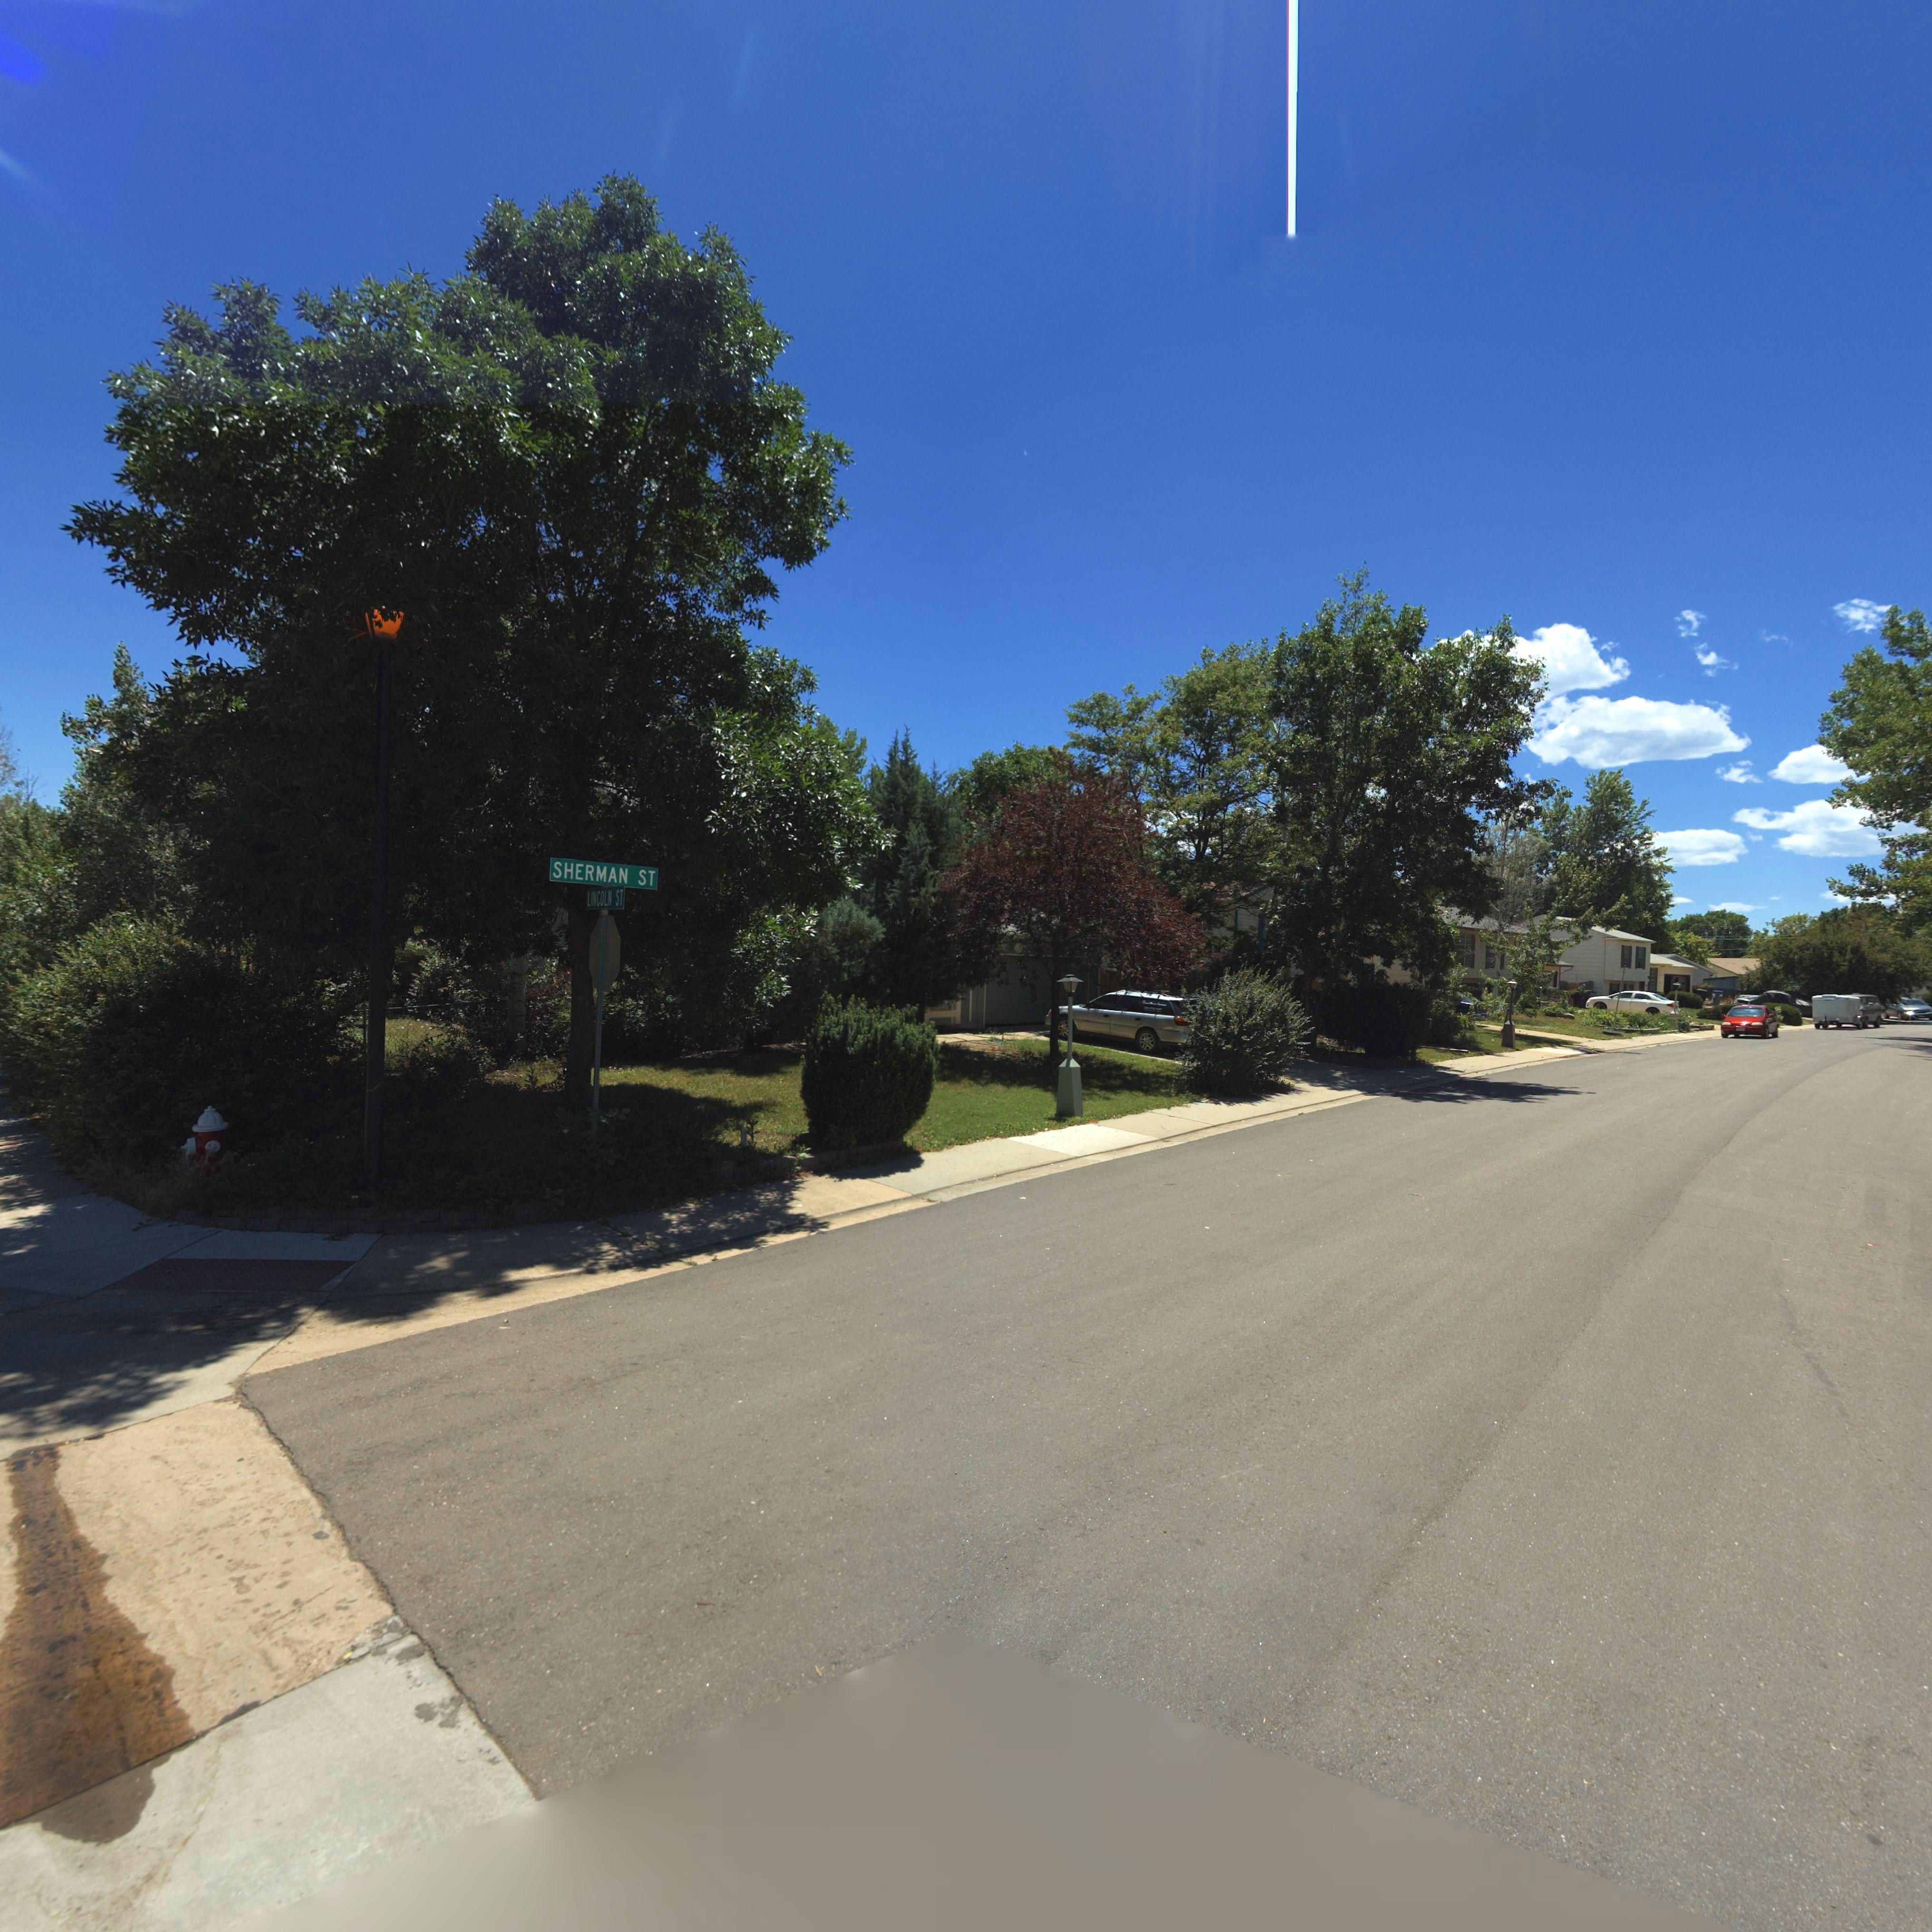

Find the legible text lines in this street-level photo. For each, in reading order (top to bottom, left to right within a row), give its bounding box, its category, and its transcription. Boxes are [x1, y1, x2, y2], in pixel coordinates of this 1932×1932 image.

[552, 860, 656, 886] StreetName: SHERMAN ST
[587, 889, 623, 907] StreetName: LINCOLN ST